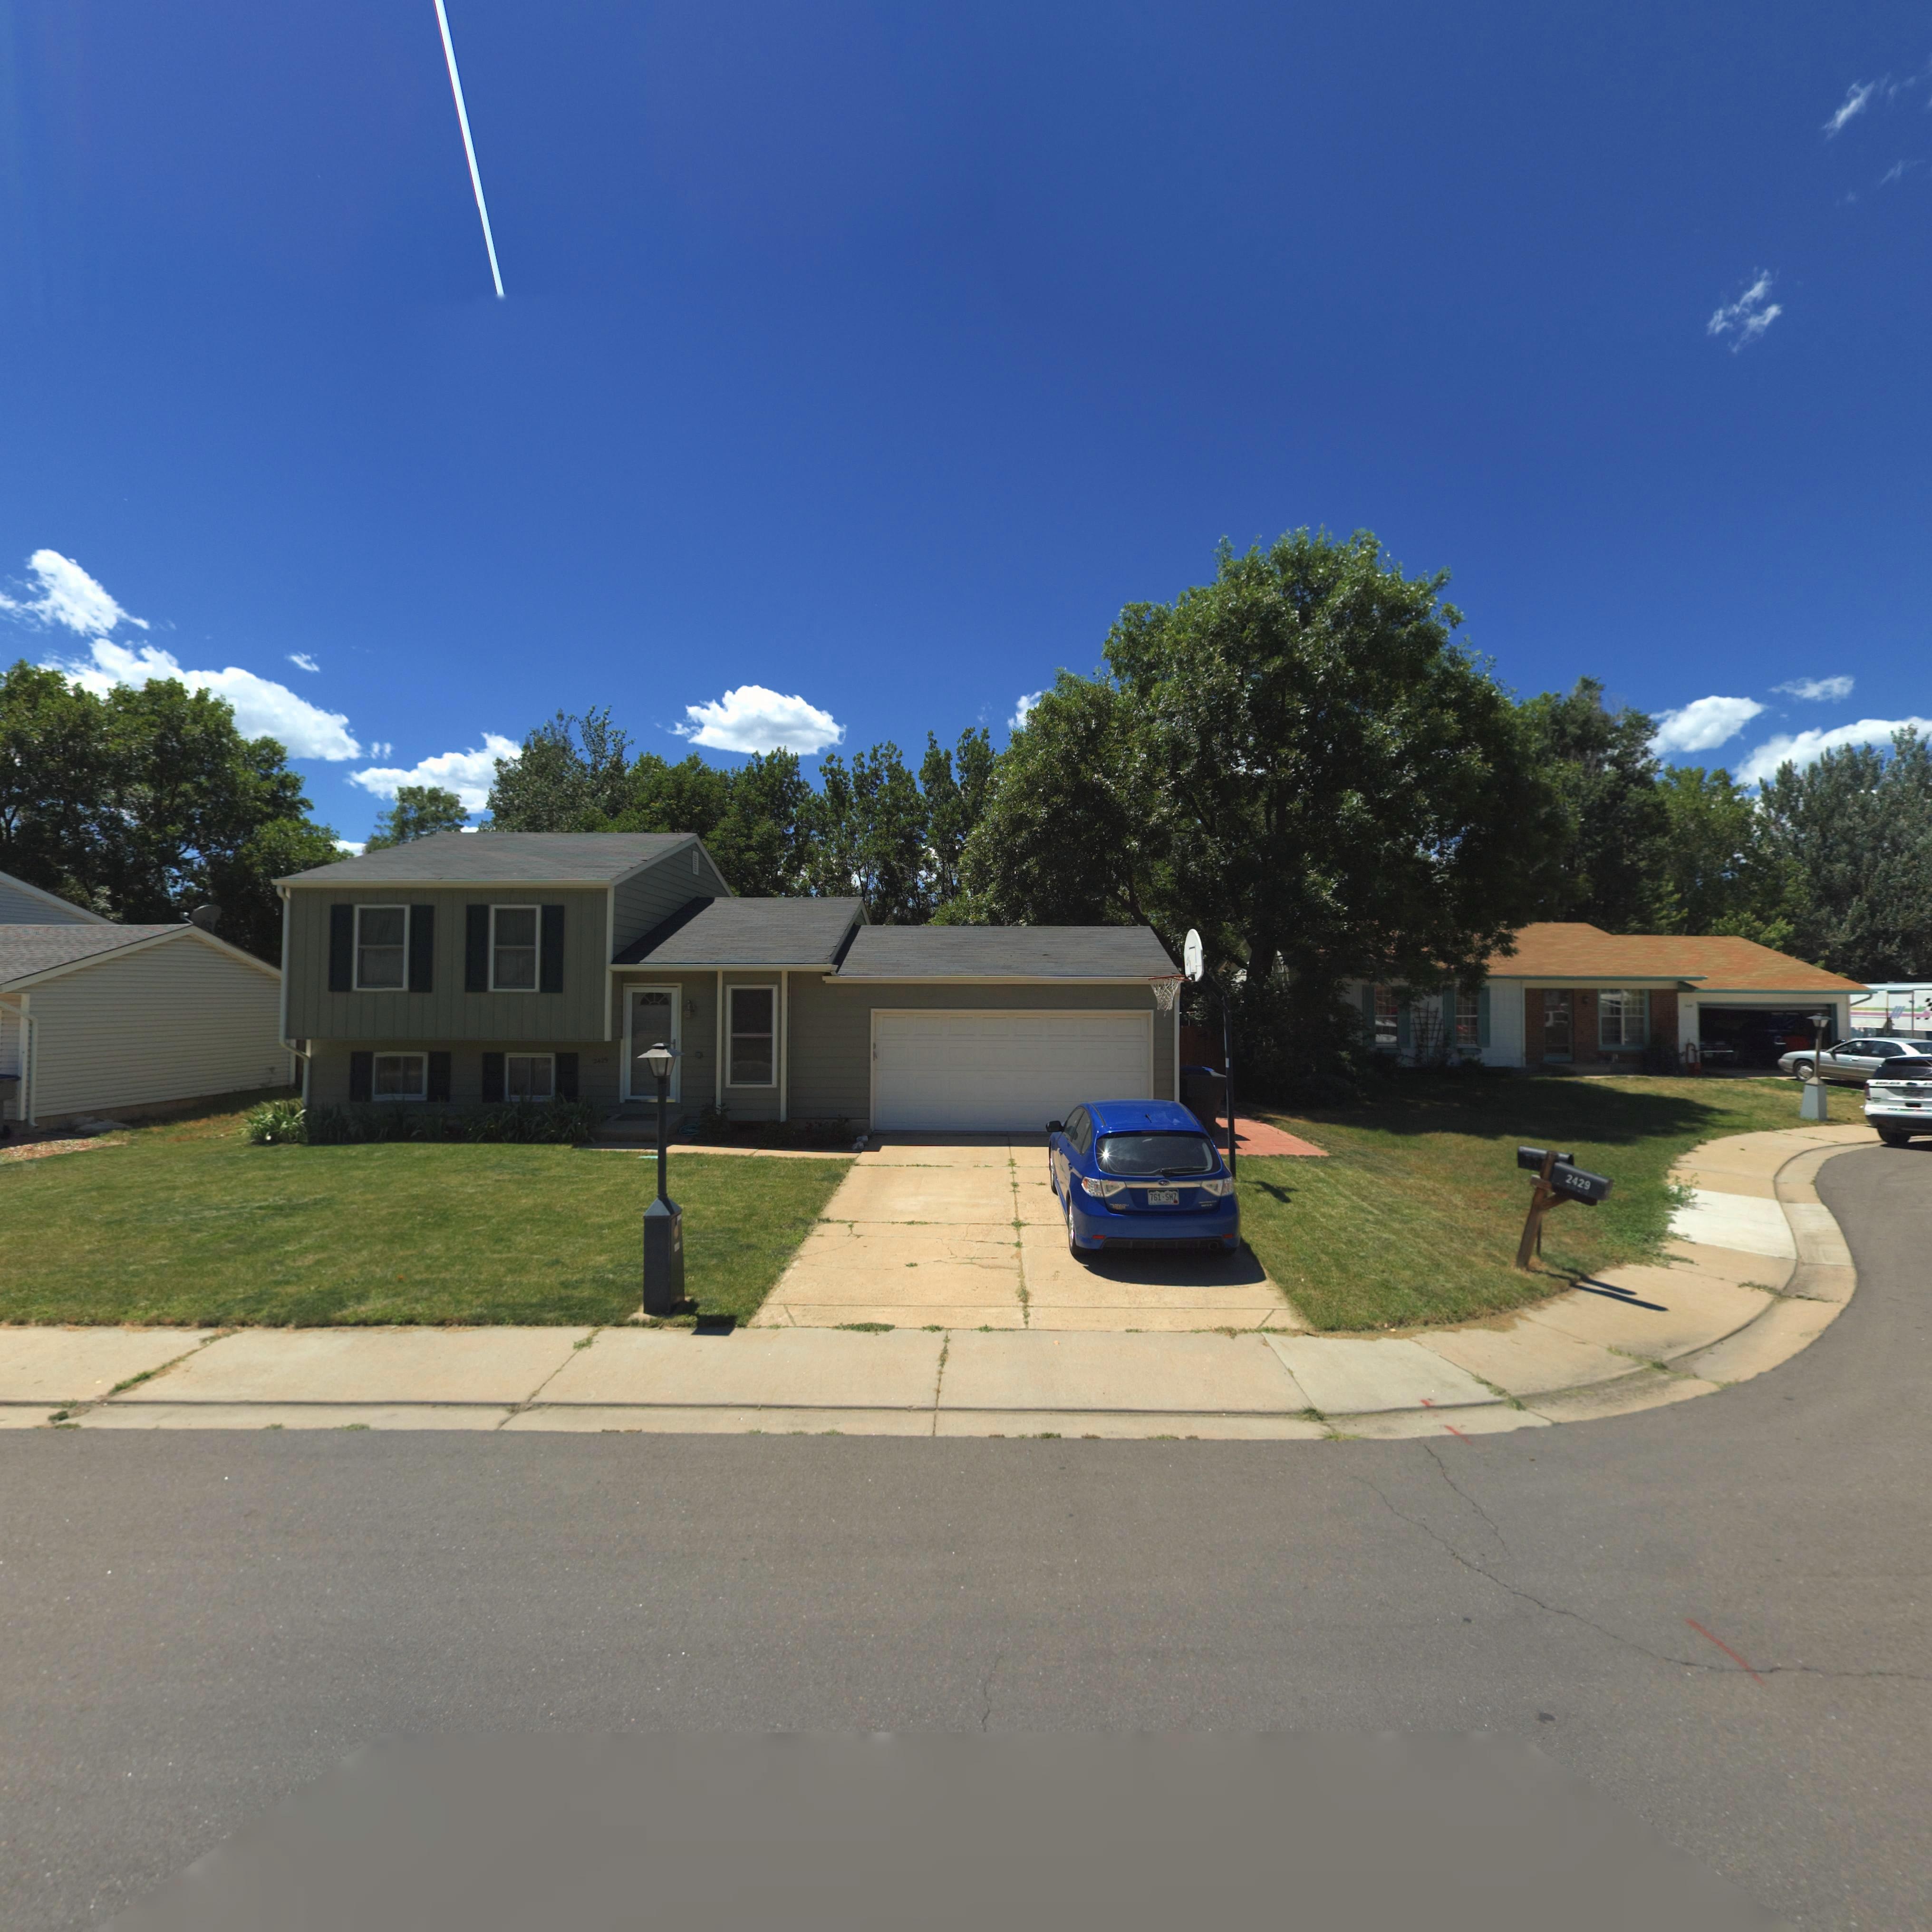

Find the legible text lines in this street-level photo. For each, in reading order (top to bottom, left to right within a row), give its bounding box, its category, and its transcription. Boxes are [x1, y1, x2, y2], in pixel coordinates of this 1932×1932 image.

[593, 1056, 609, 1064] StreetNumber: 2429
[1563, 1173, 1592, 1191] StreetNumber: 2429